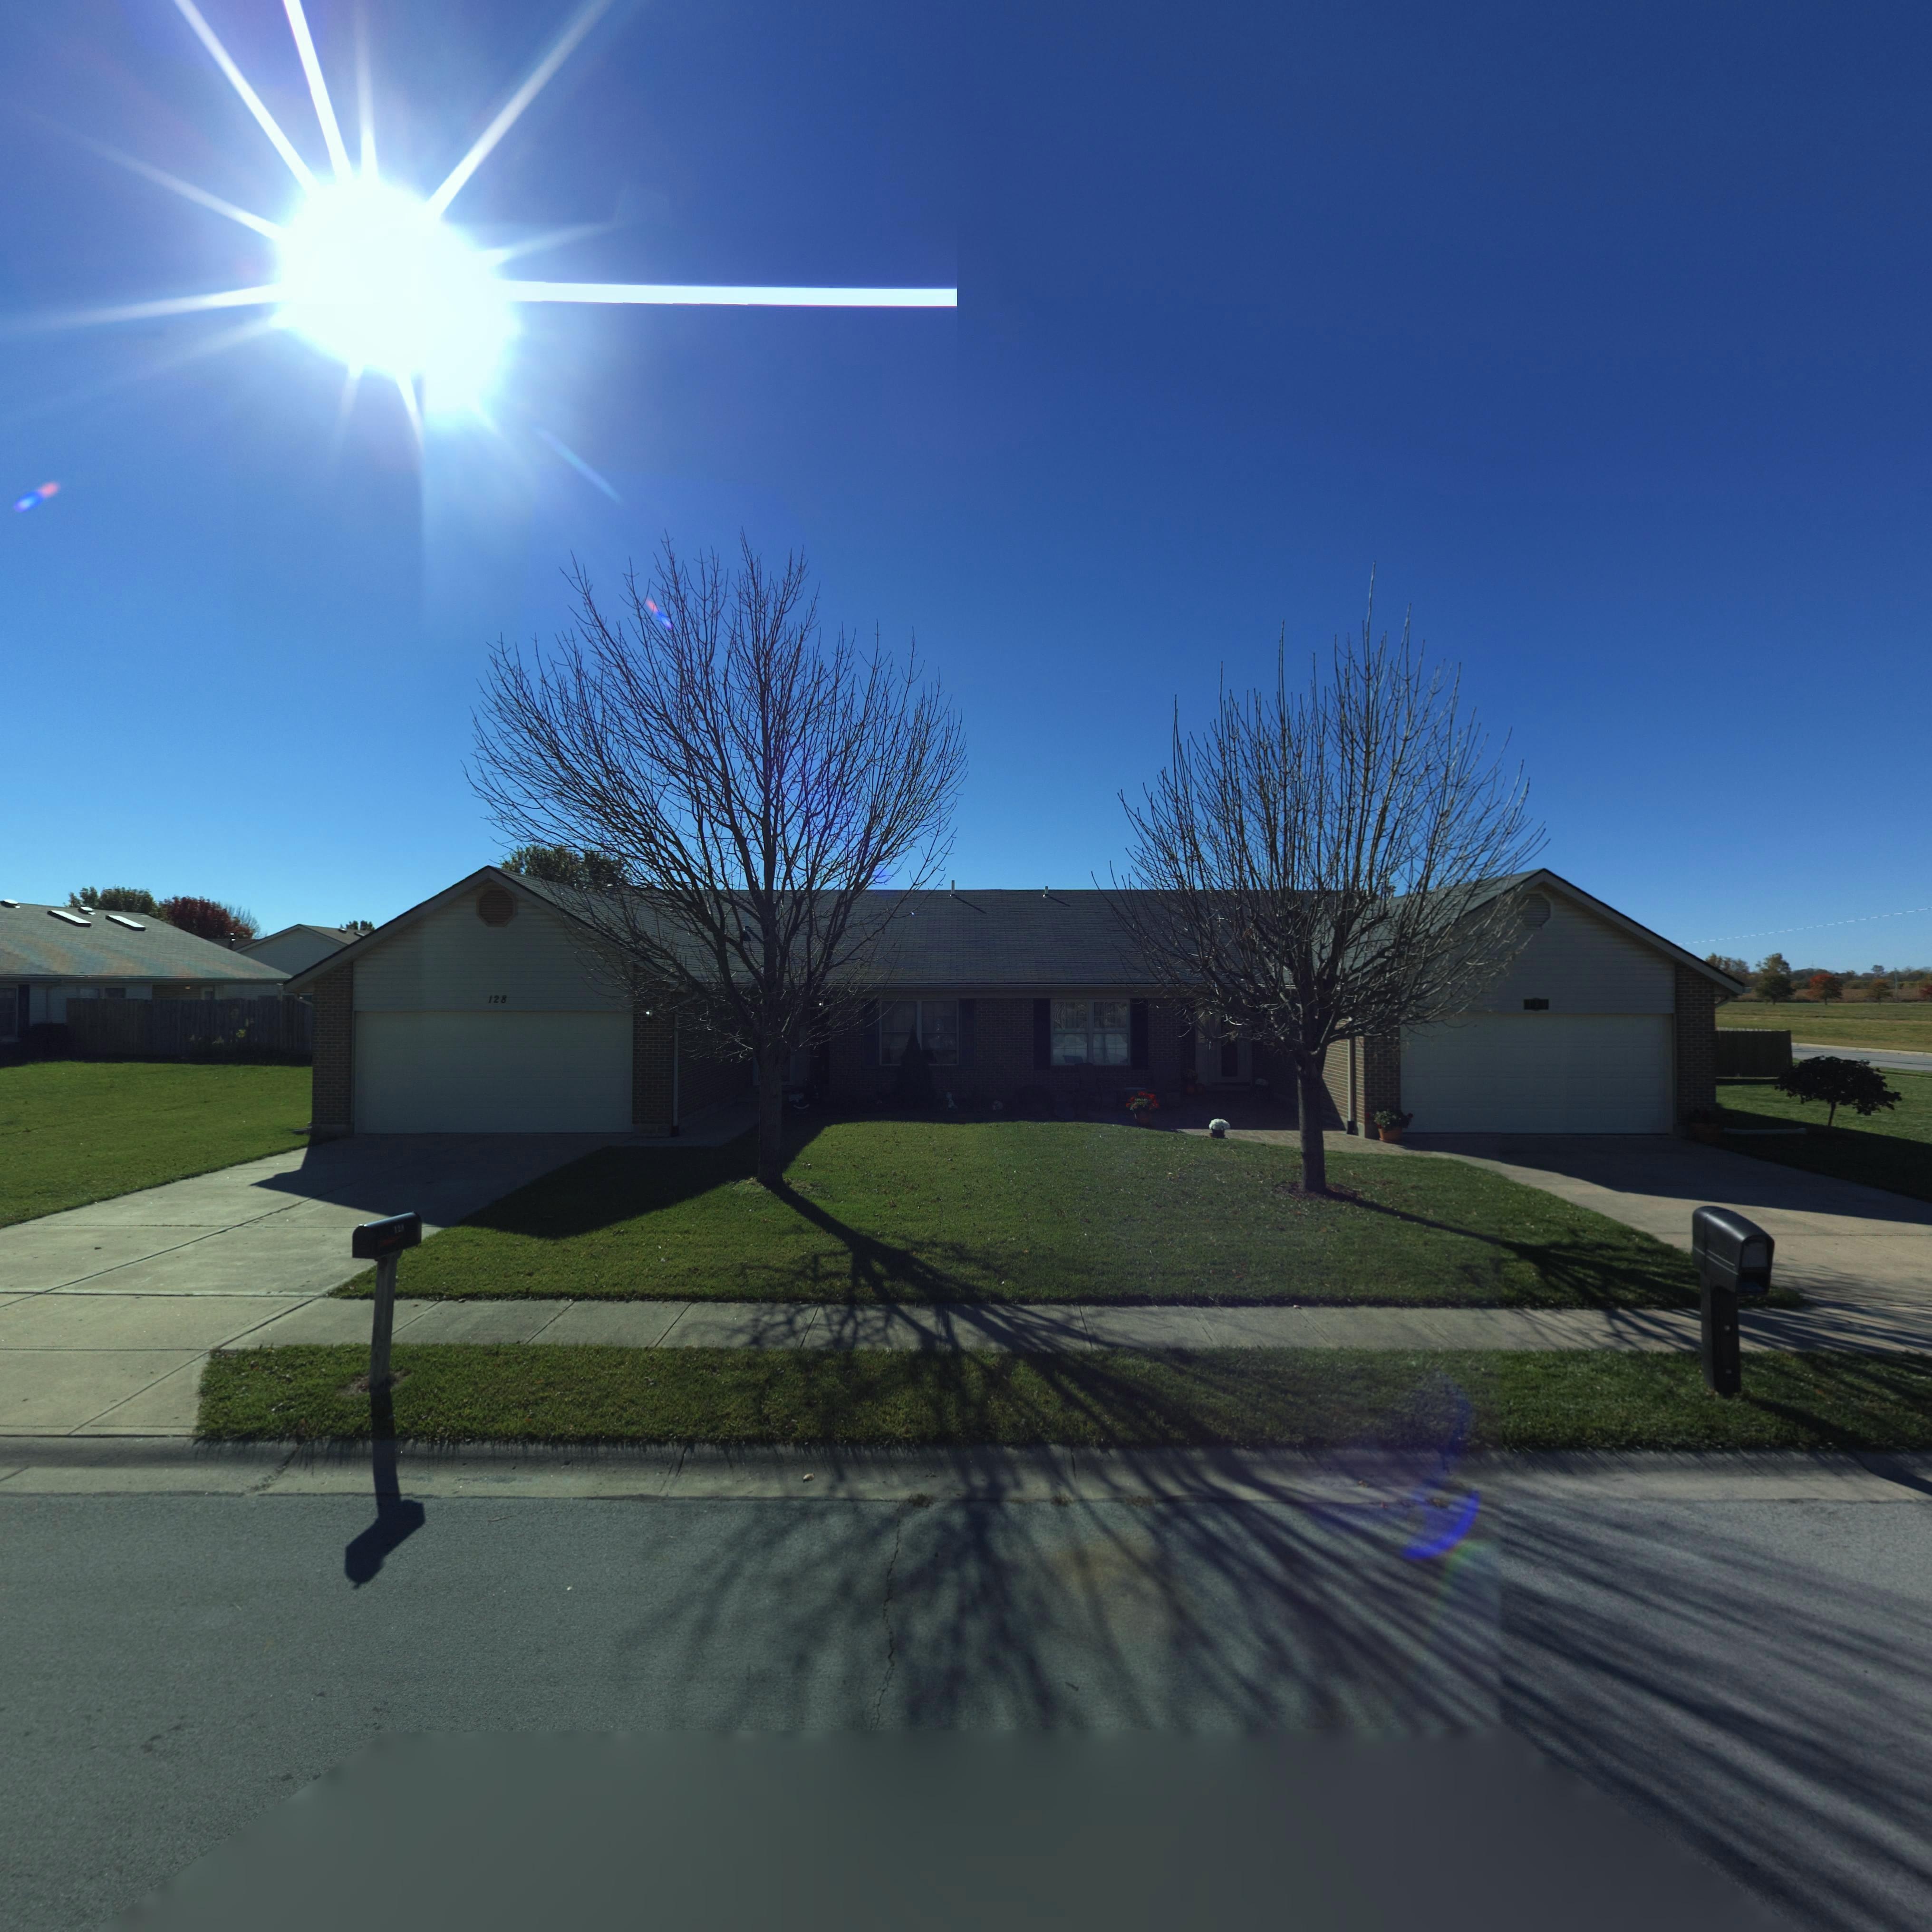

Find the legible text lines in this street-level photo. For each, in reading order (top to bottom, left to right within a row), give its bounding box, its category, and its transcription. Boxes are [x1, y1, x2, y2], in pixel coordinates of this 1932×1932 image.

[487, 995, 507, 1004] StreetNumber: 128
[393, 1223, 406, 1235] StreetNumber: 128